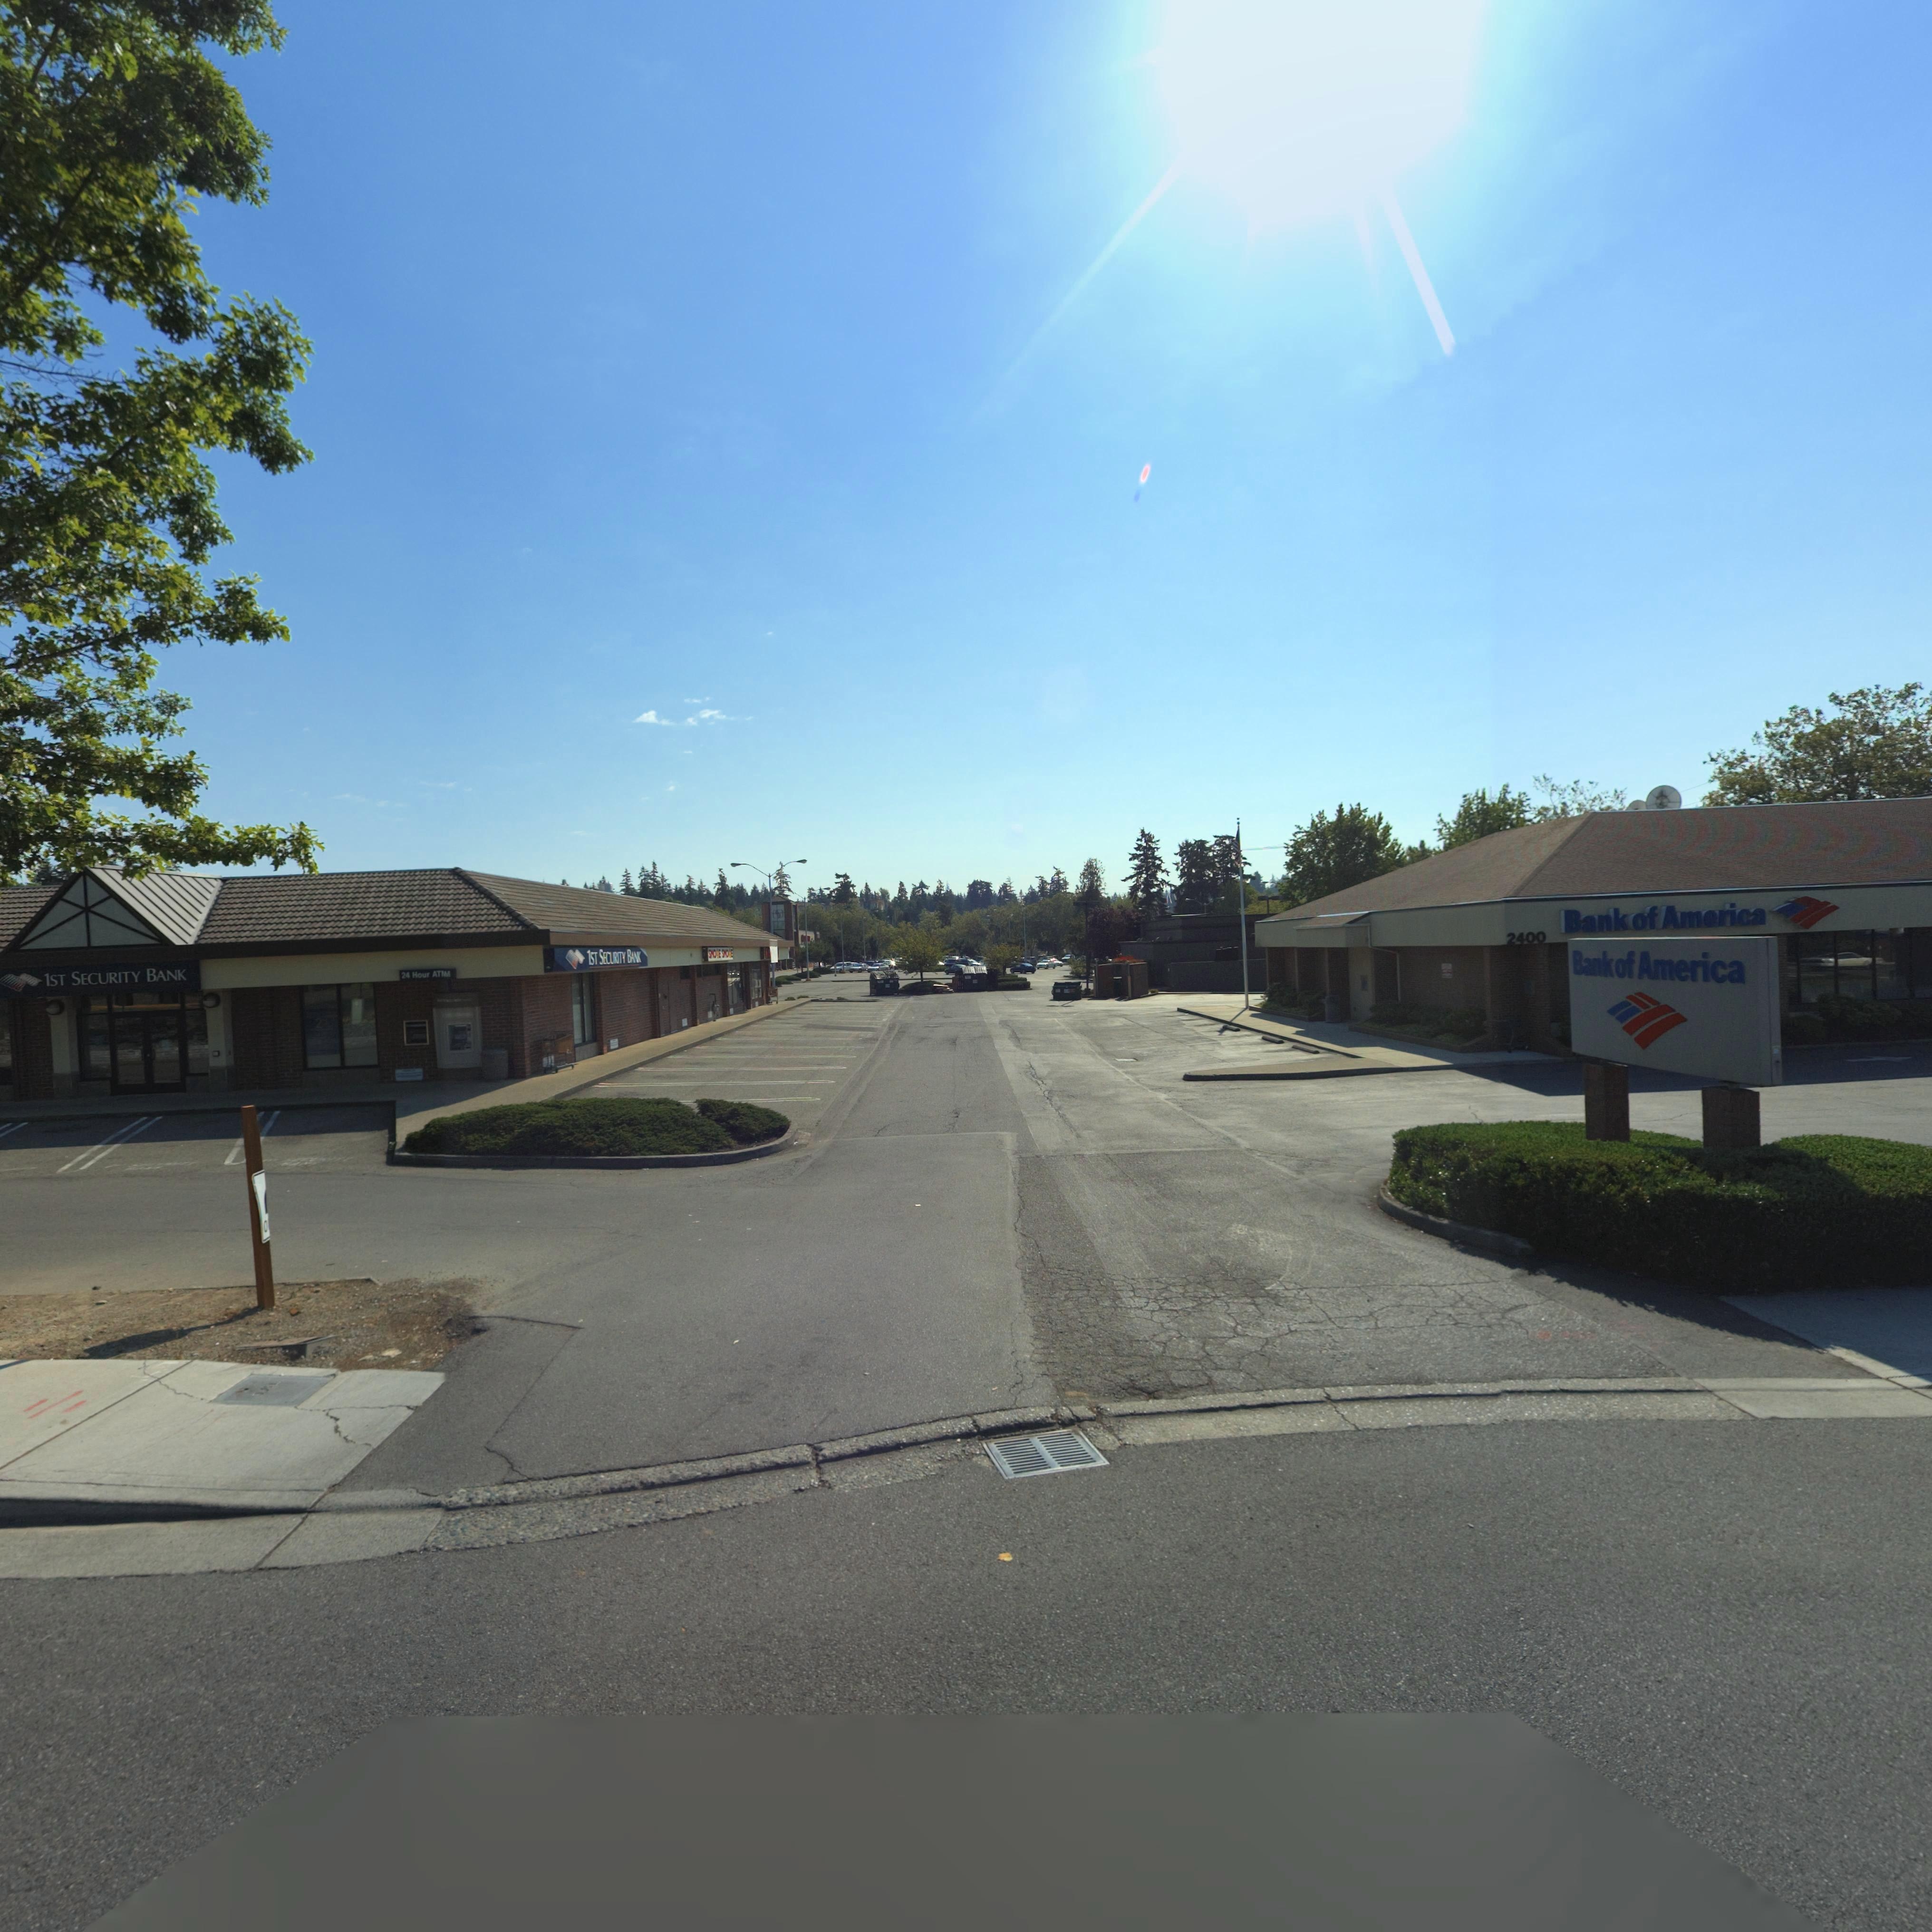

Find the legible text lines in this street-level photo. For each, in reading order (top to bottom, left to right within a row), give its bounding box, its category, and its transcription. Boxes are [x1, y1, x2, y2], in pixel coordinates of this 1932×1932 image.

[1562, 902, 1766, 934] BusinessName: Bank of America
[1507, 931, 1546, 945] StreetNumber: 2400
[586, 948, 641, 965] BusinessName: 1ST SECURITY BANK
[708, 949, 733, 959] BusinessName: SMO*E SMO*E
[1571, 949, 1744, 985] BusinessName: Bank of America
[43, 968, 186, 987] BusinessName: 1ST SECURITY BANK